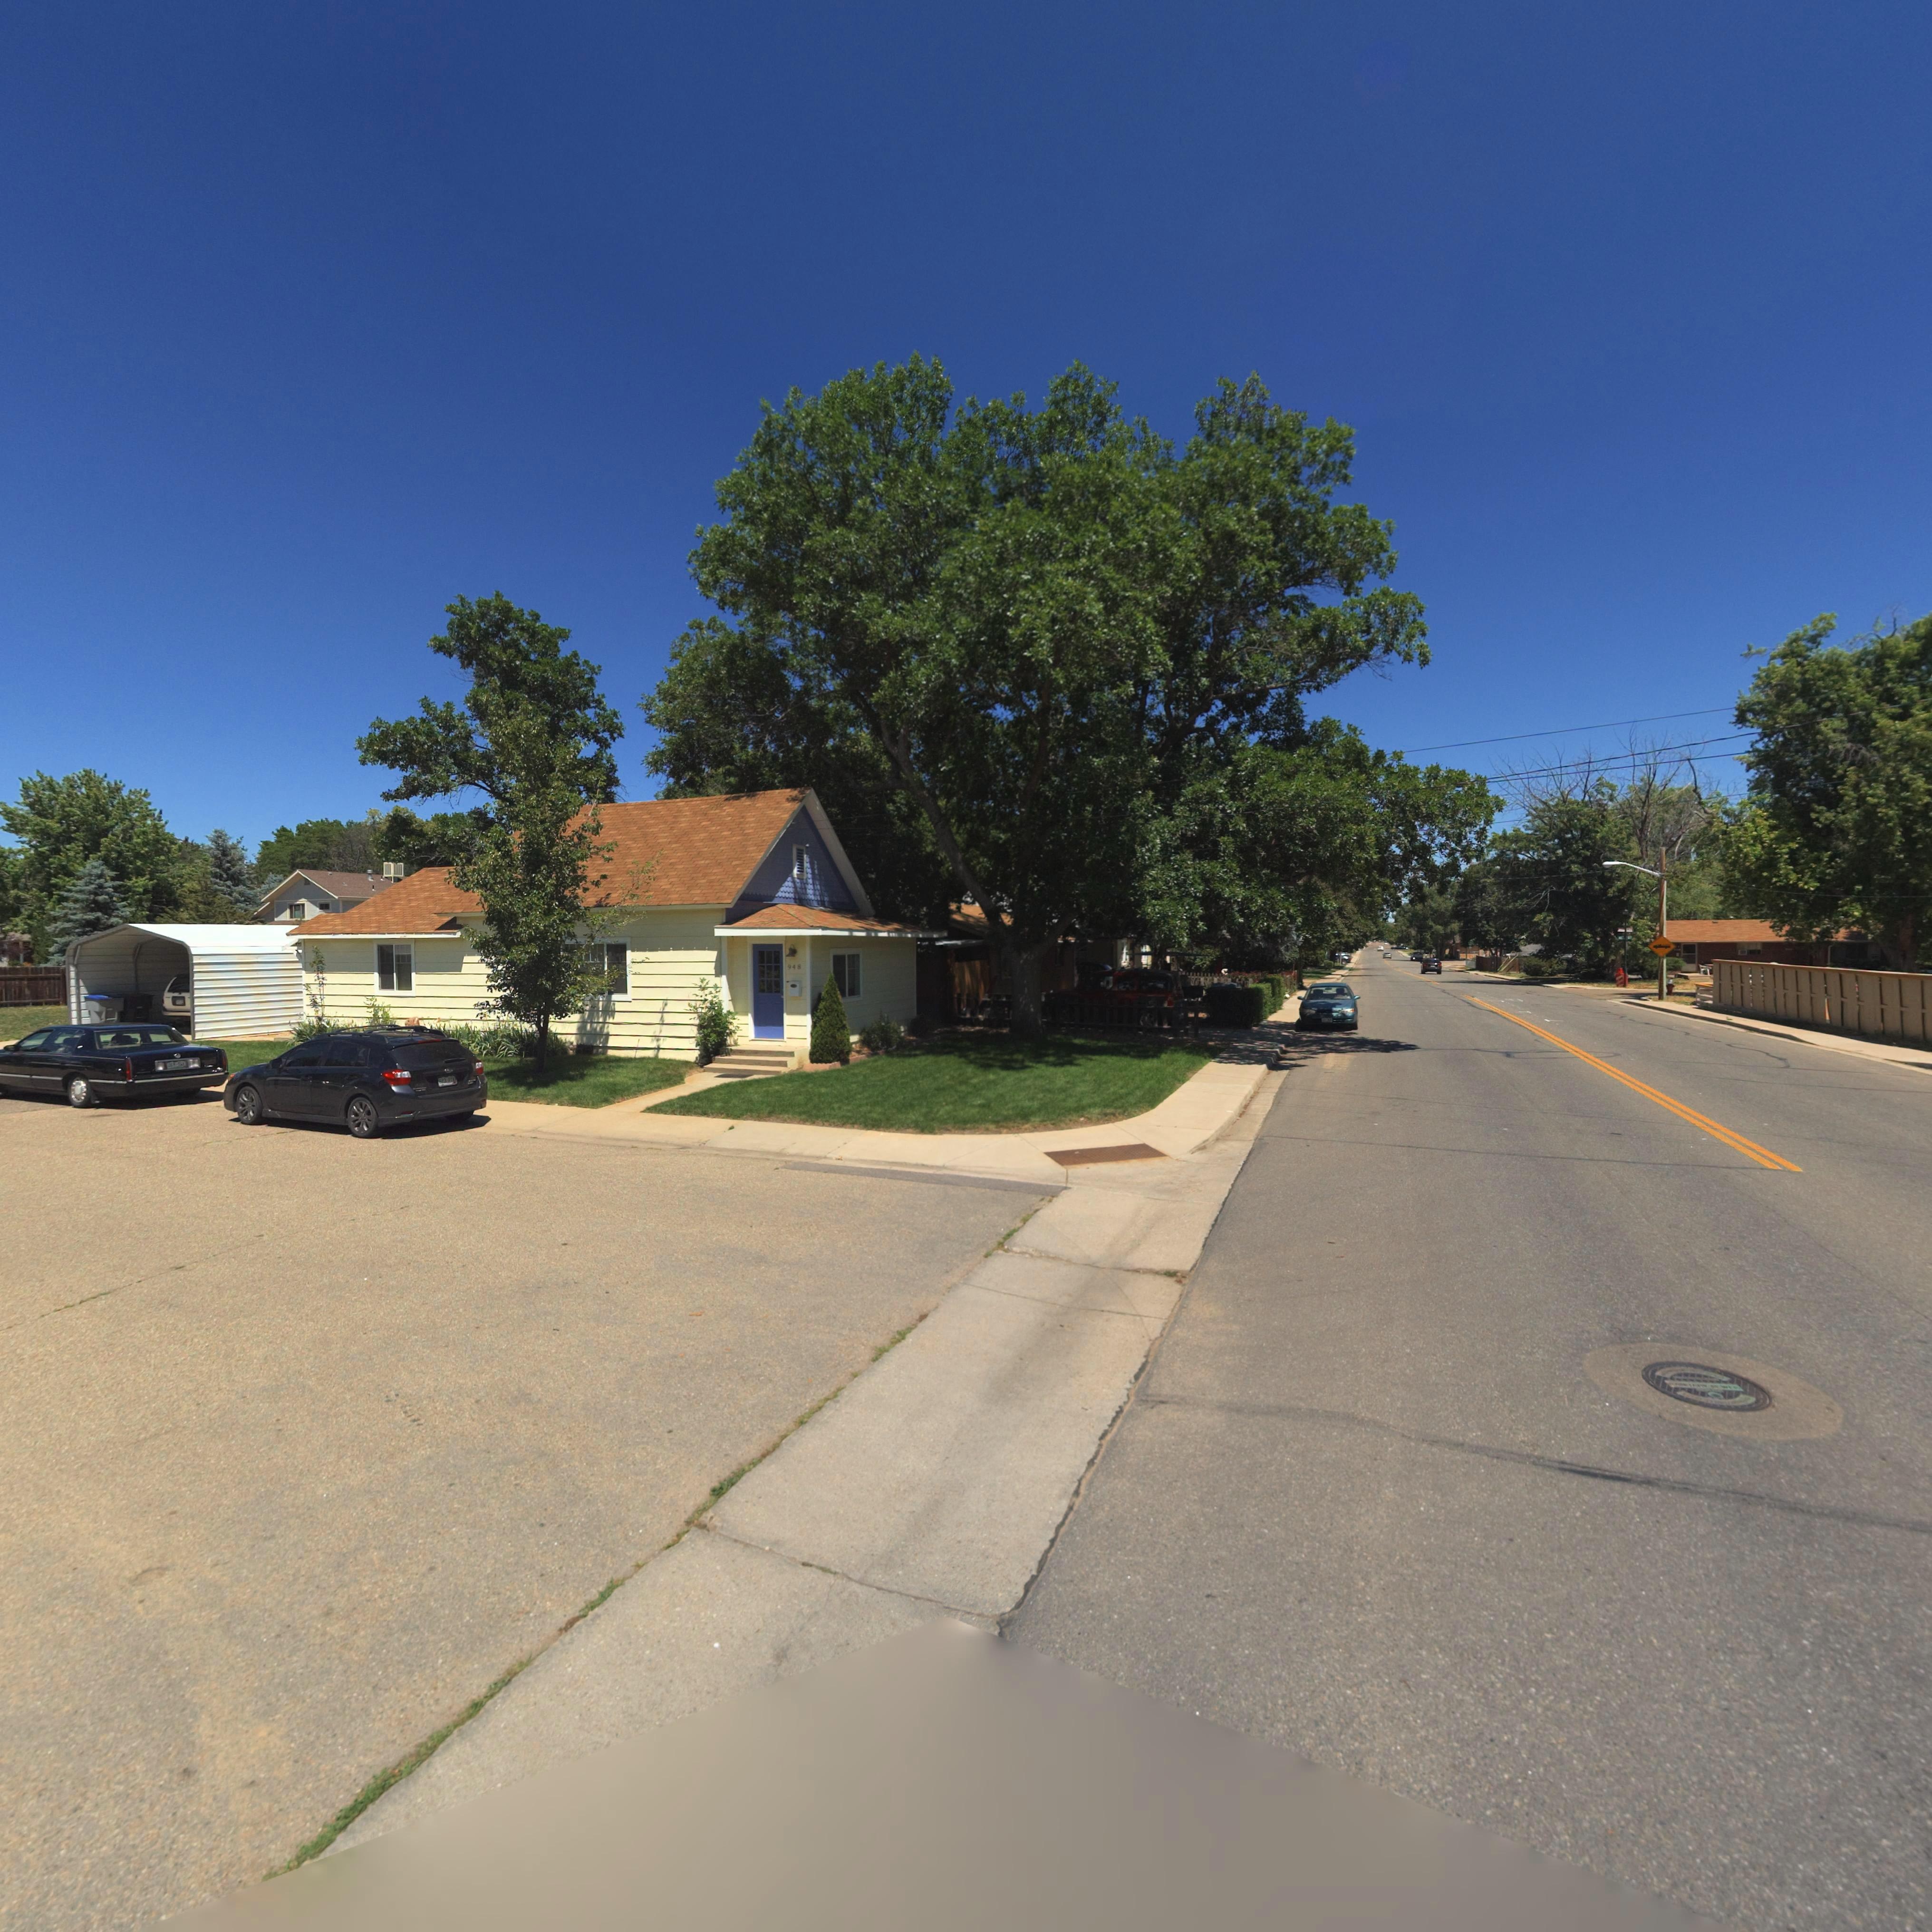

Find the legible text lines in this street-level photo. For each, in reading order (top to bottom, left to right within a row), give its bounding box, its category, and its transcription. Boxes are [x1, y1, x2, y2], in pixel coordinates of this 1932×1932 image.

[787, 963, 801, 970] StreetNumber: 948